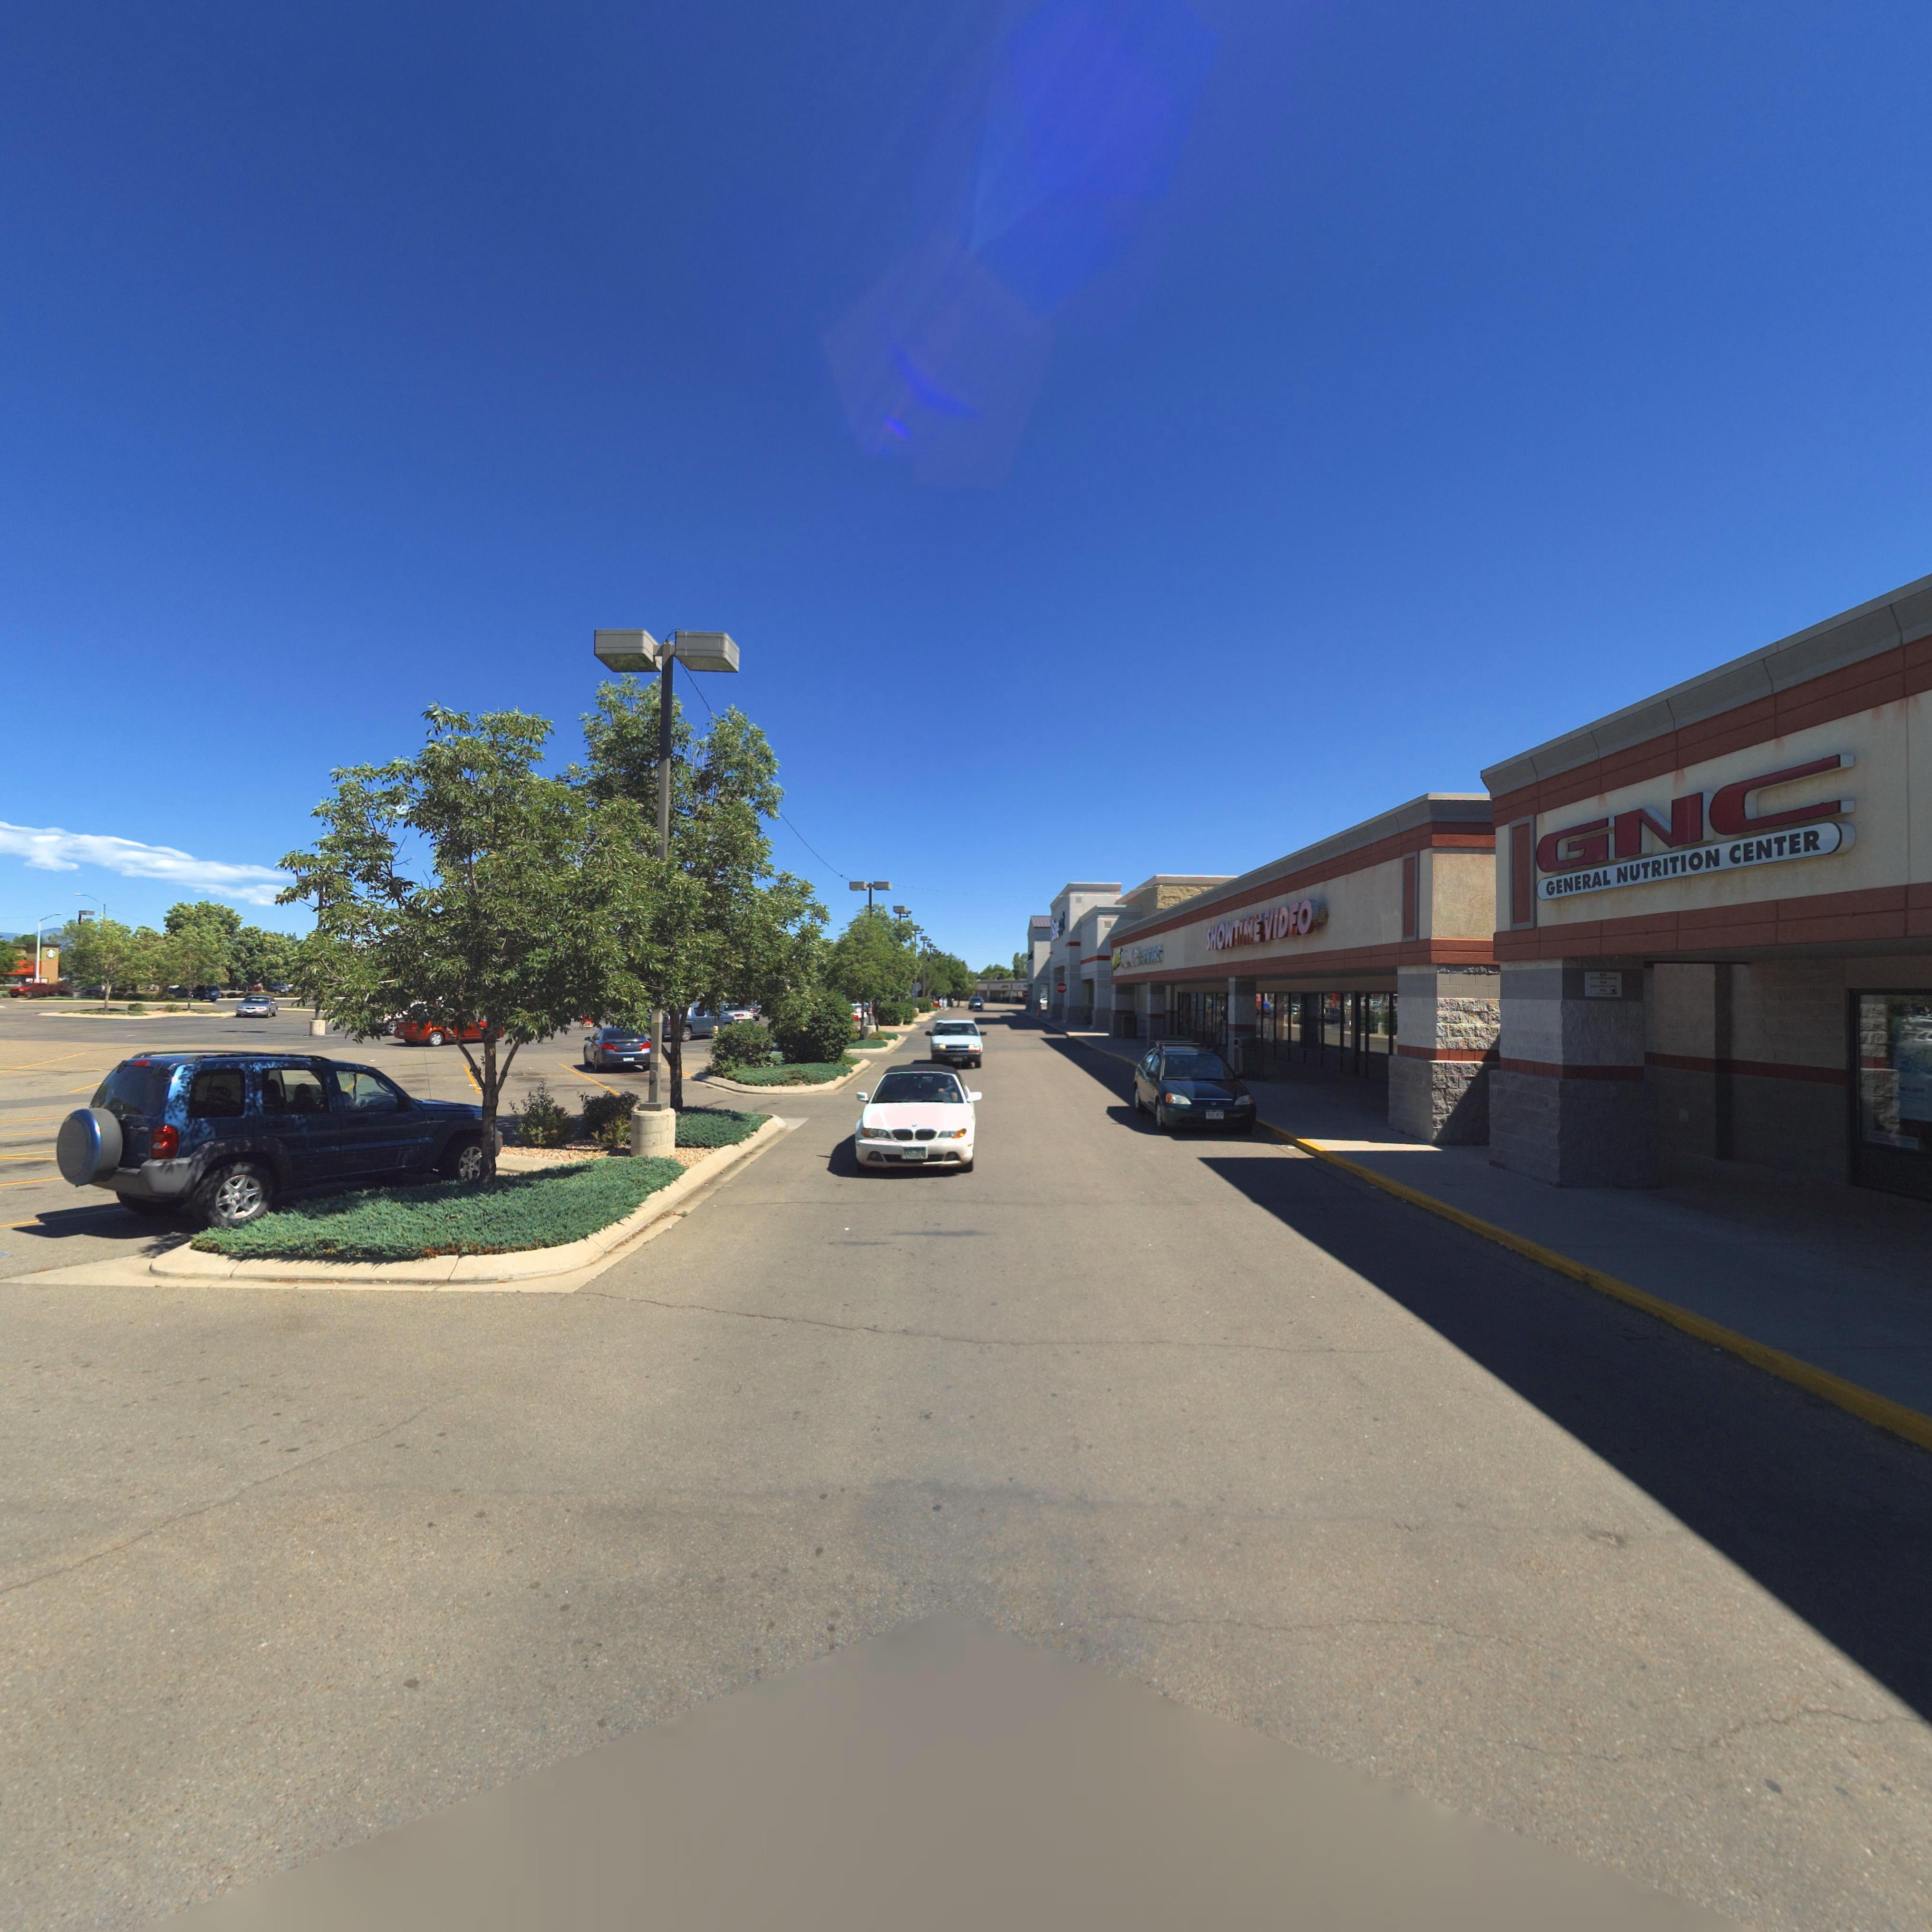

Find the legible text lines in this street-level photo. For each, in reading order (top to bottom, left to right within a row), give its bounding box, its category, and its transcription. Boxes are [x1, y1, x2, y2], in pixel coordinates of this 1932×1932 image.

[1536, 753, 1841, 873] BusinessName: GNC
[1545, 829, 1821, 896] BusinessName: GENERAL NUTRITION CENTER
[1050, 910, 1065, 942] BusinessName: S**e***t
[1206, 899, 1313, 951] BusinessName: SHOWTIME VIDEO
[1110, 947, 1121, 970] BusinessName: ***E
[1120, 944, 1164, 969] BusinessName: **Q**R * *IG**S